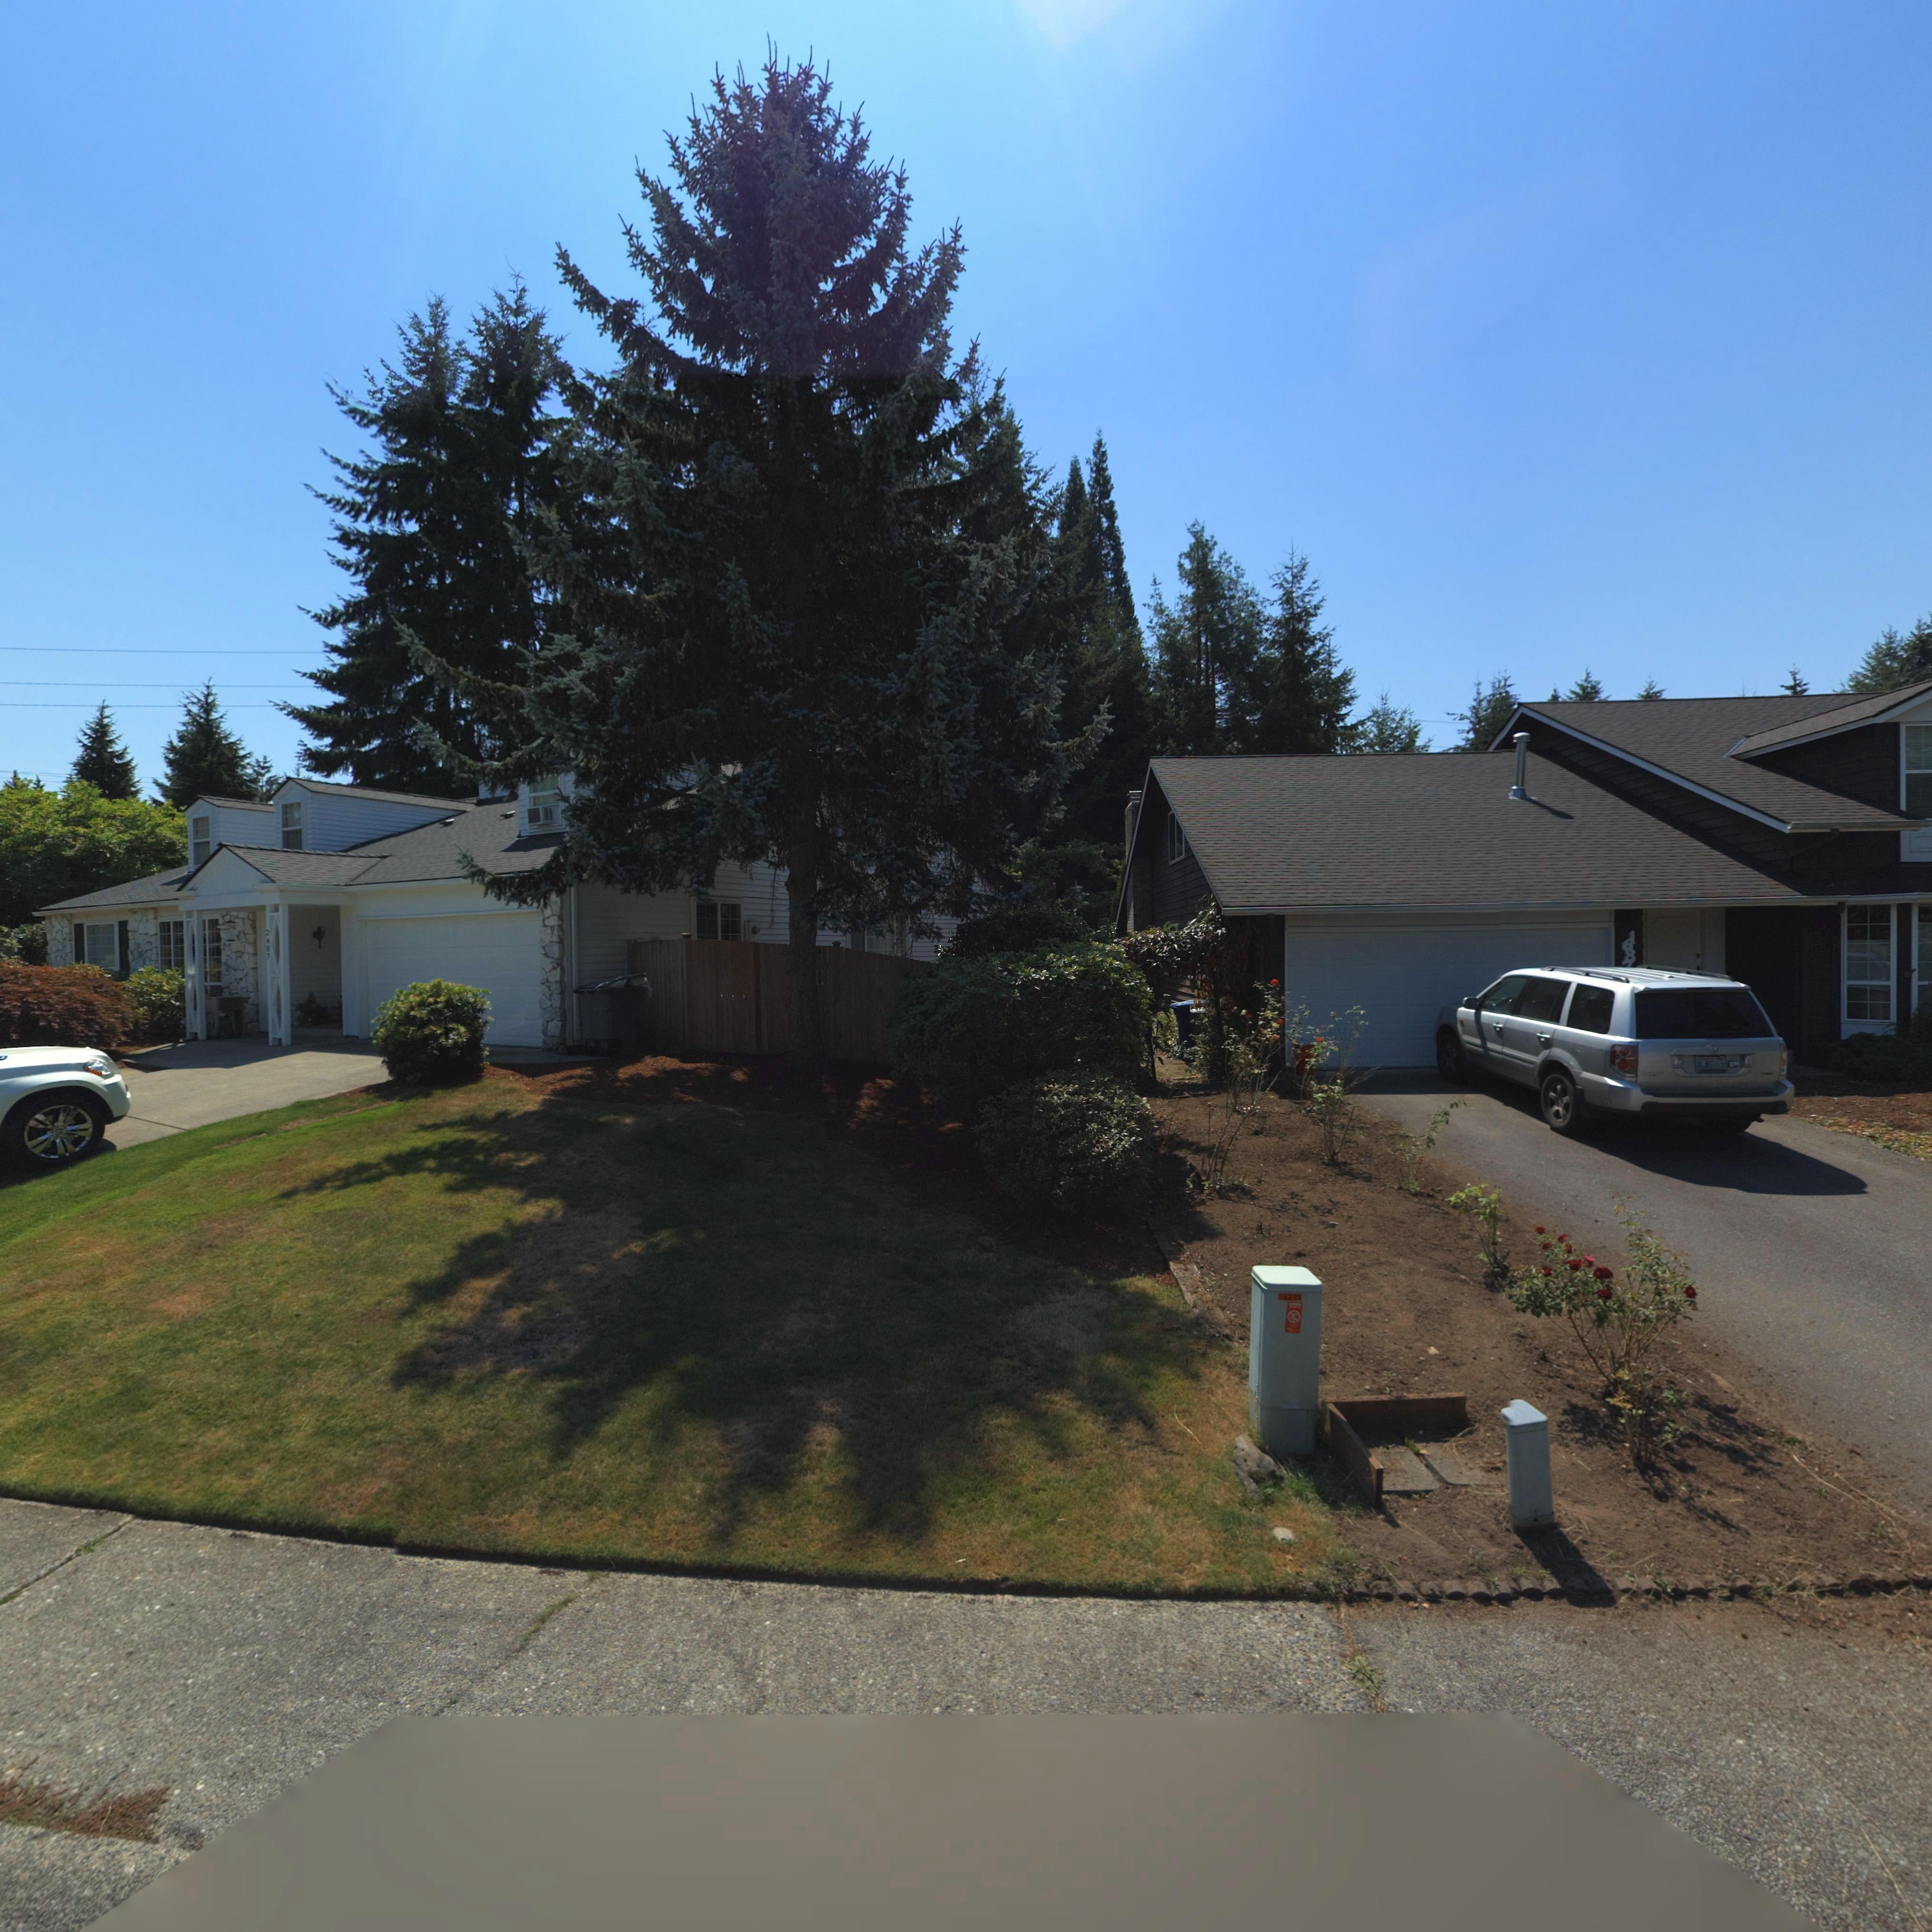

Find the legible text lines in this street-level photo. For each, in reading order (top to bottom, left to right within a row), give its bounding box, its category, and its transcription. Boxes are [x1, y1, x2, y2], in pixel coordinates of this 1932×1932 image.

[266, 928, 270, 960] StreetNumber: 24*7
[1628, 929, 1636, 944] StreetNumber: 1
[1625, 948, 1636, 962] StreetNumber: 8